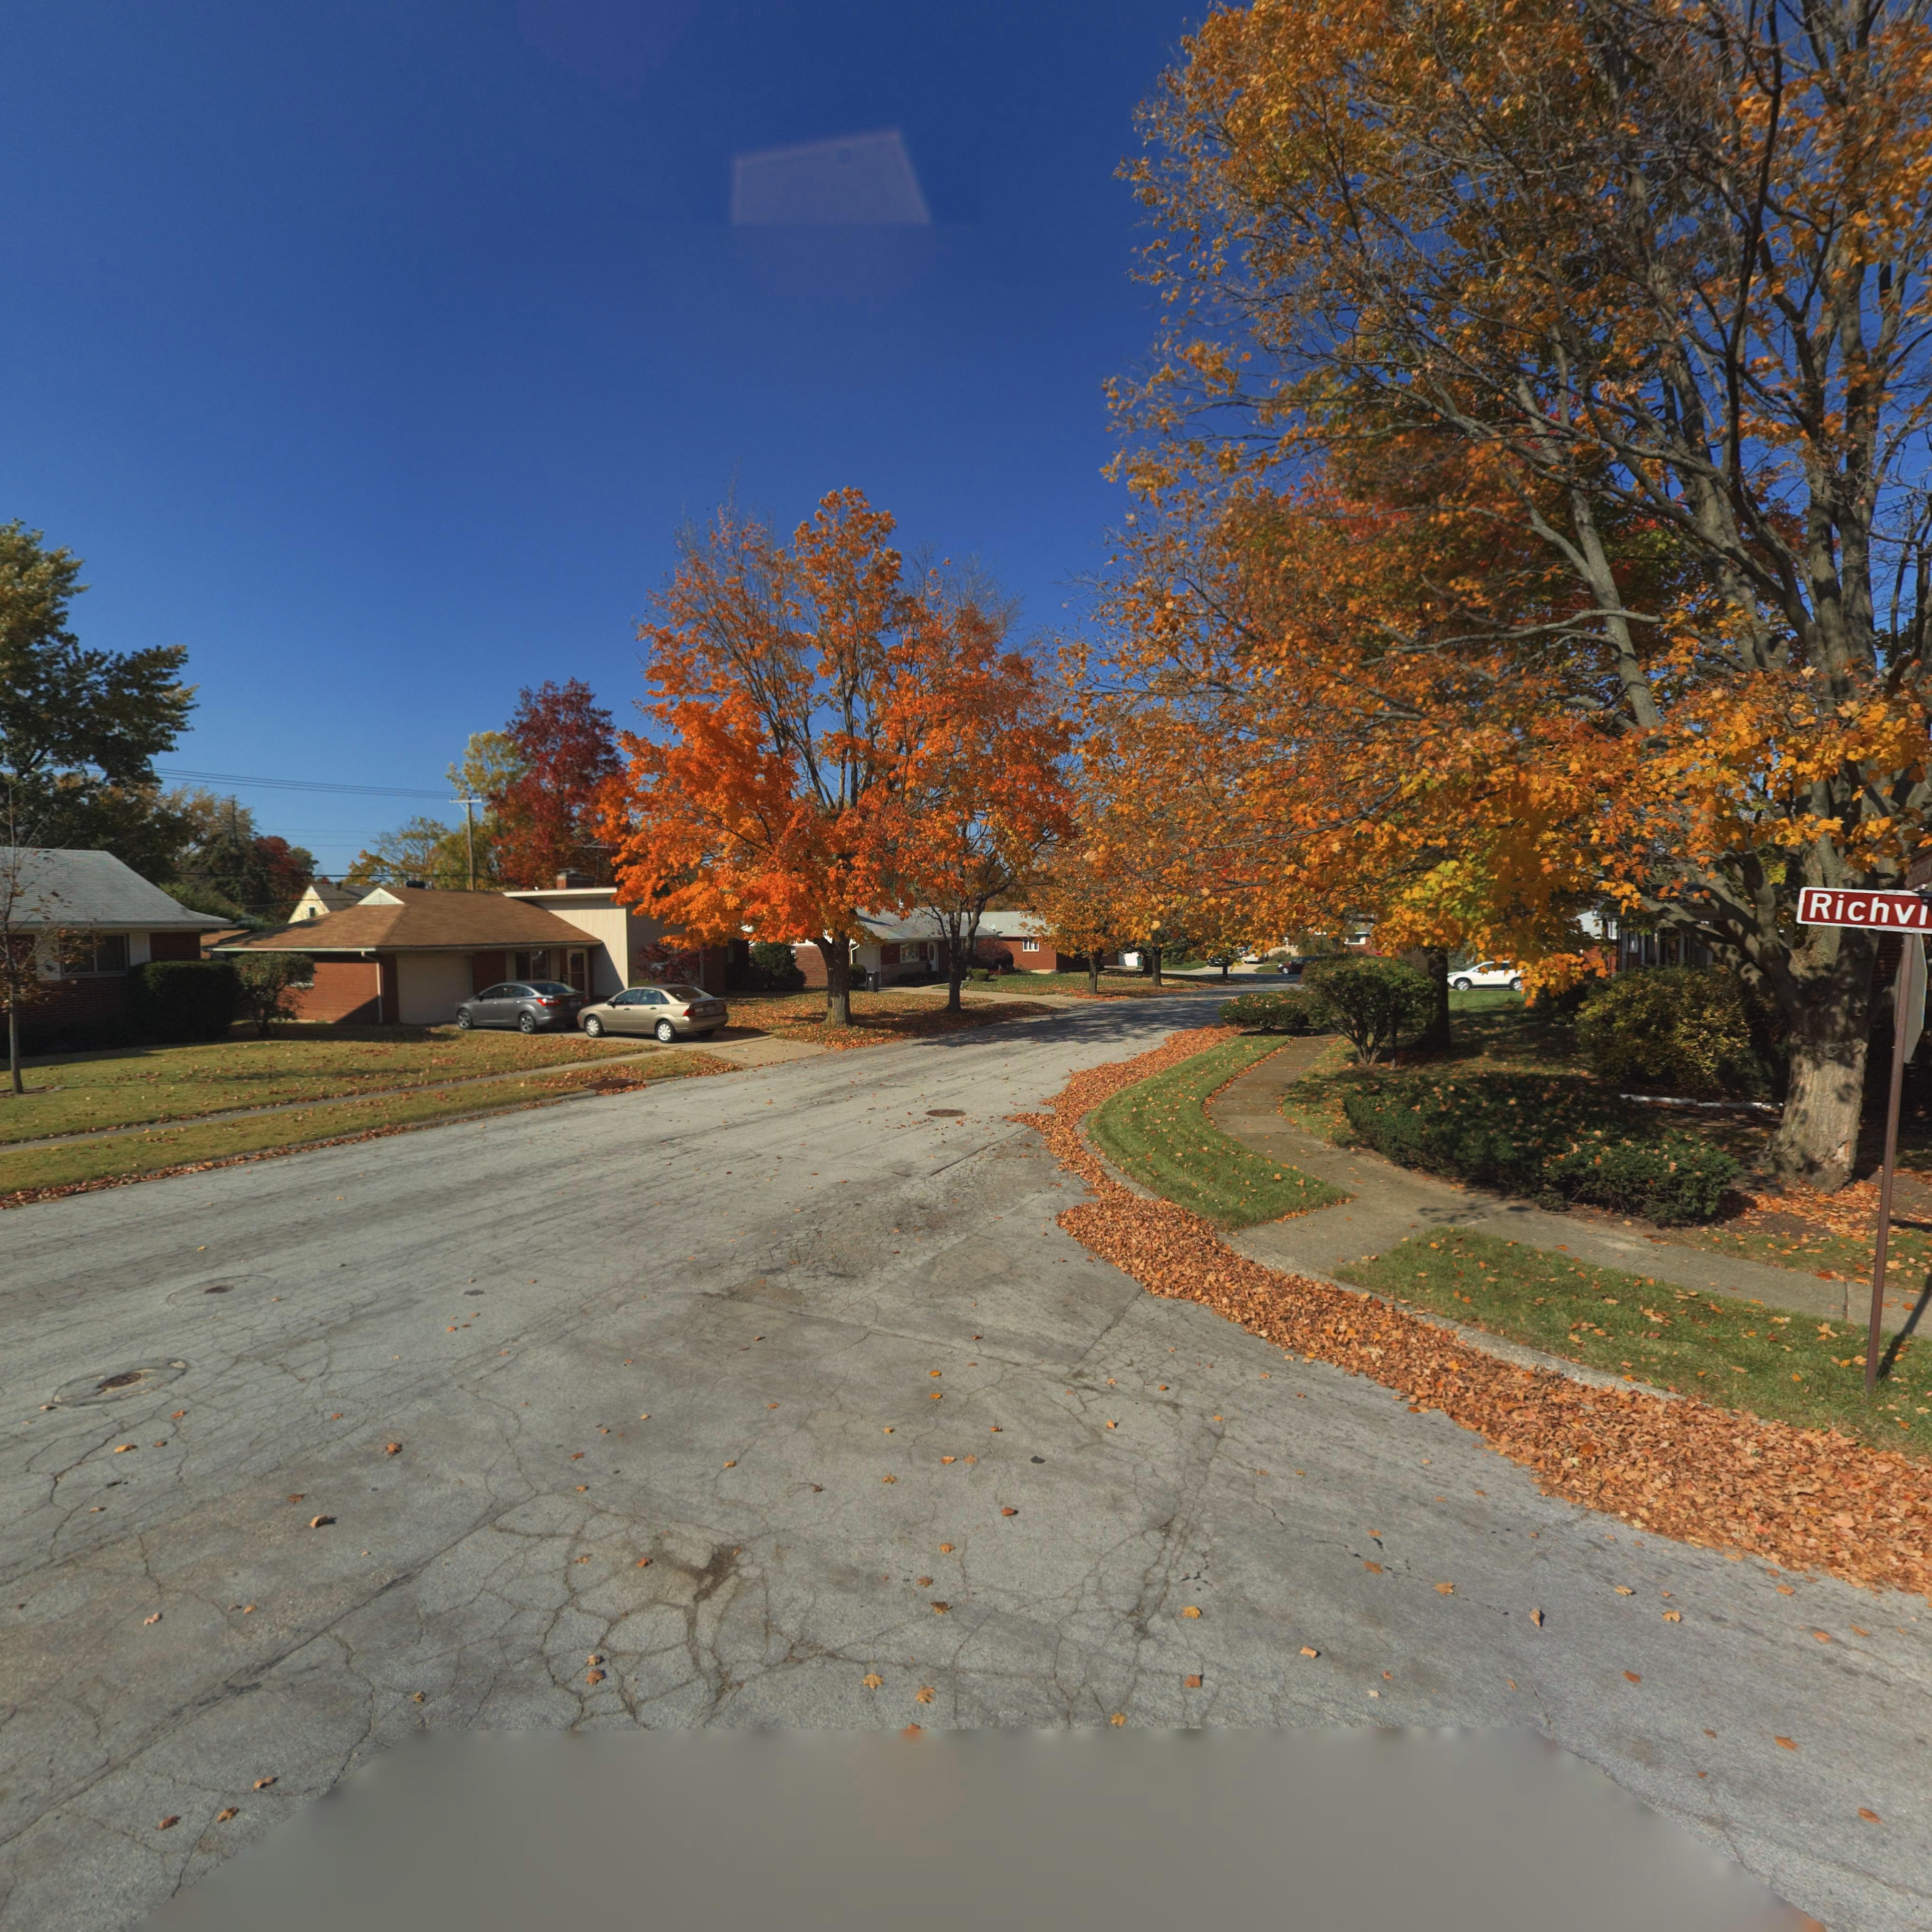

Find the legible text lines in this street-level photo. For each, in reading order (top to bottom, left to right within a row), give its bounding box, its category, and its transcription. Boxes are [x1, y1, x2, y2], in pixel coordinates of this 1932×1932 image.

[1808, 892, 1931, 927] StreetName: Richvi